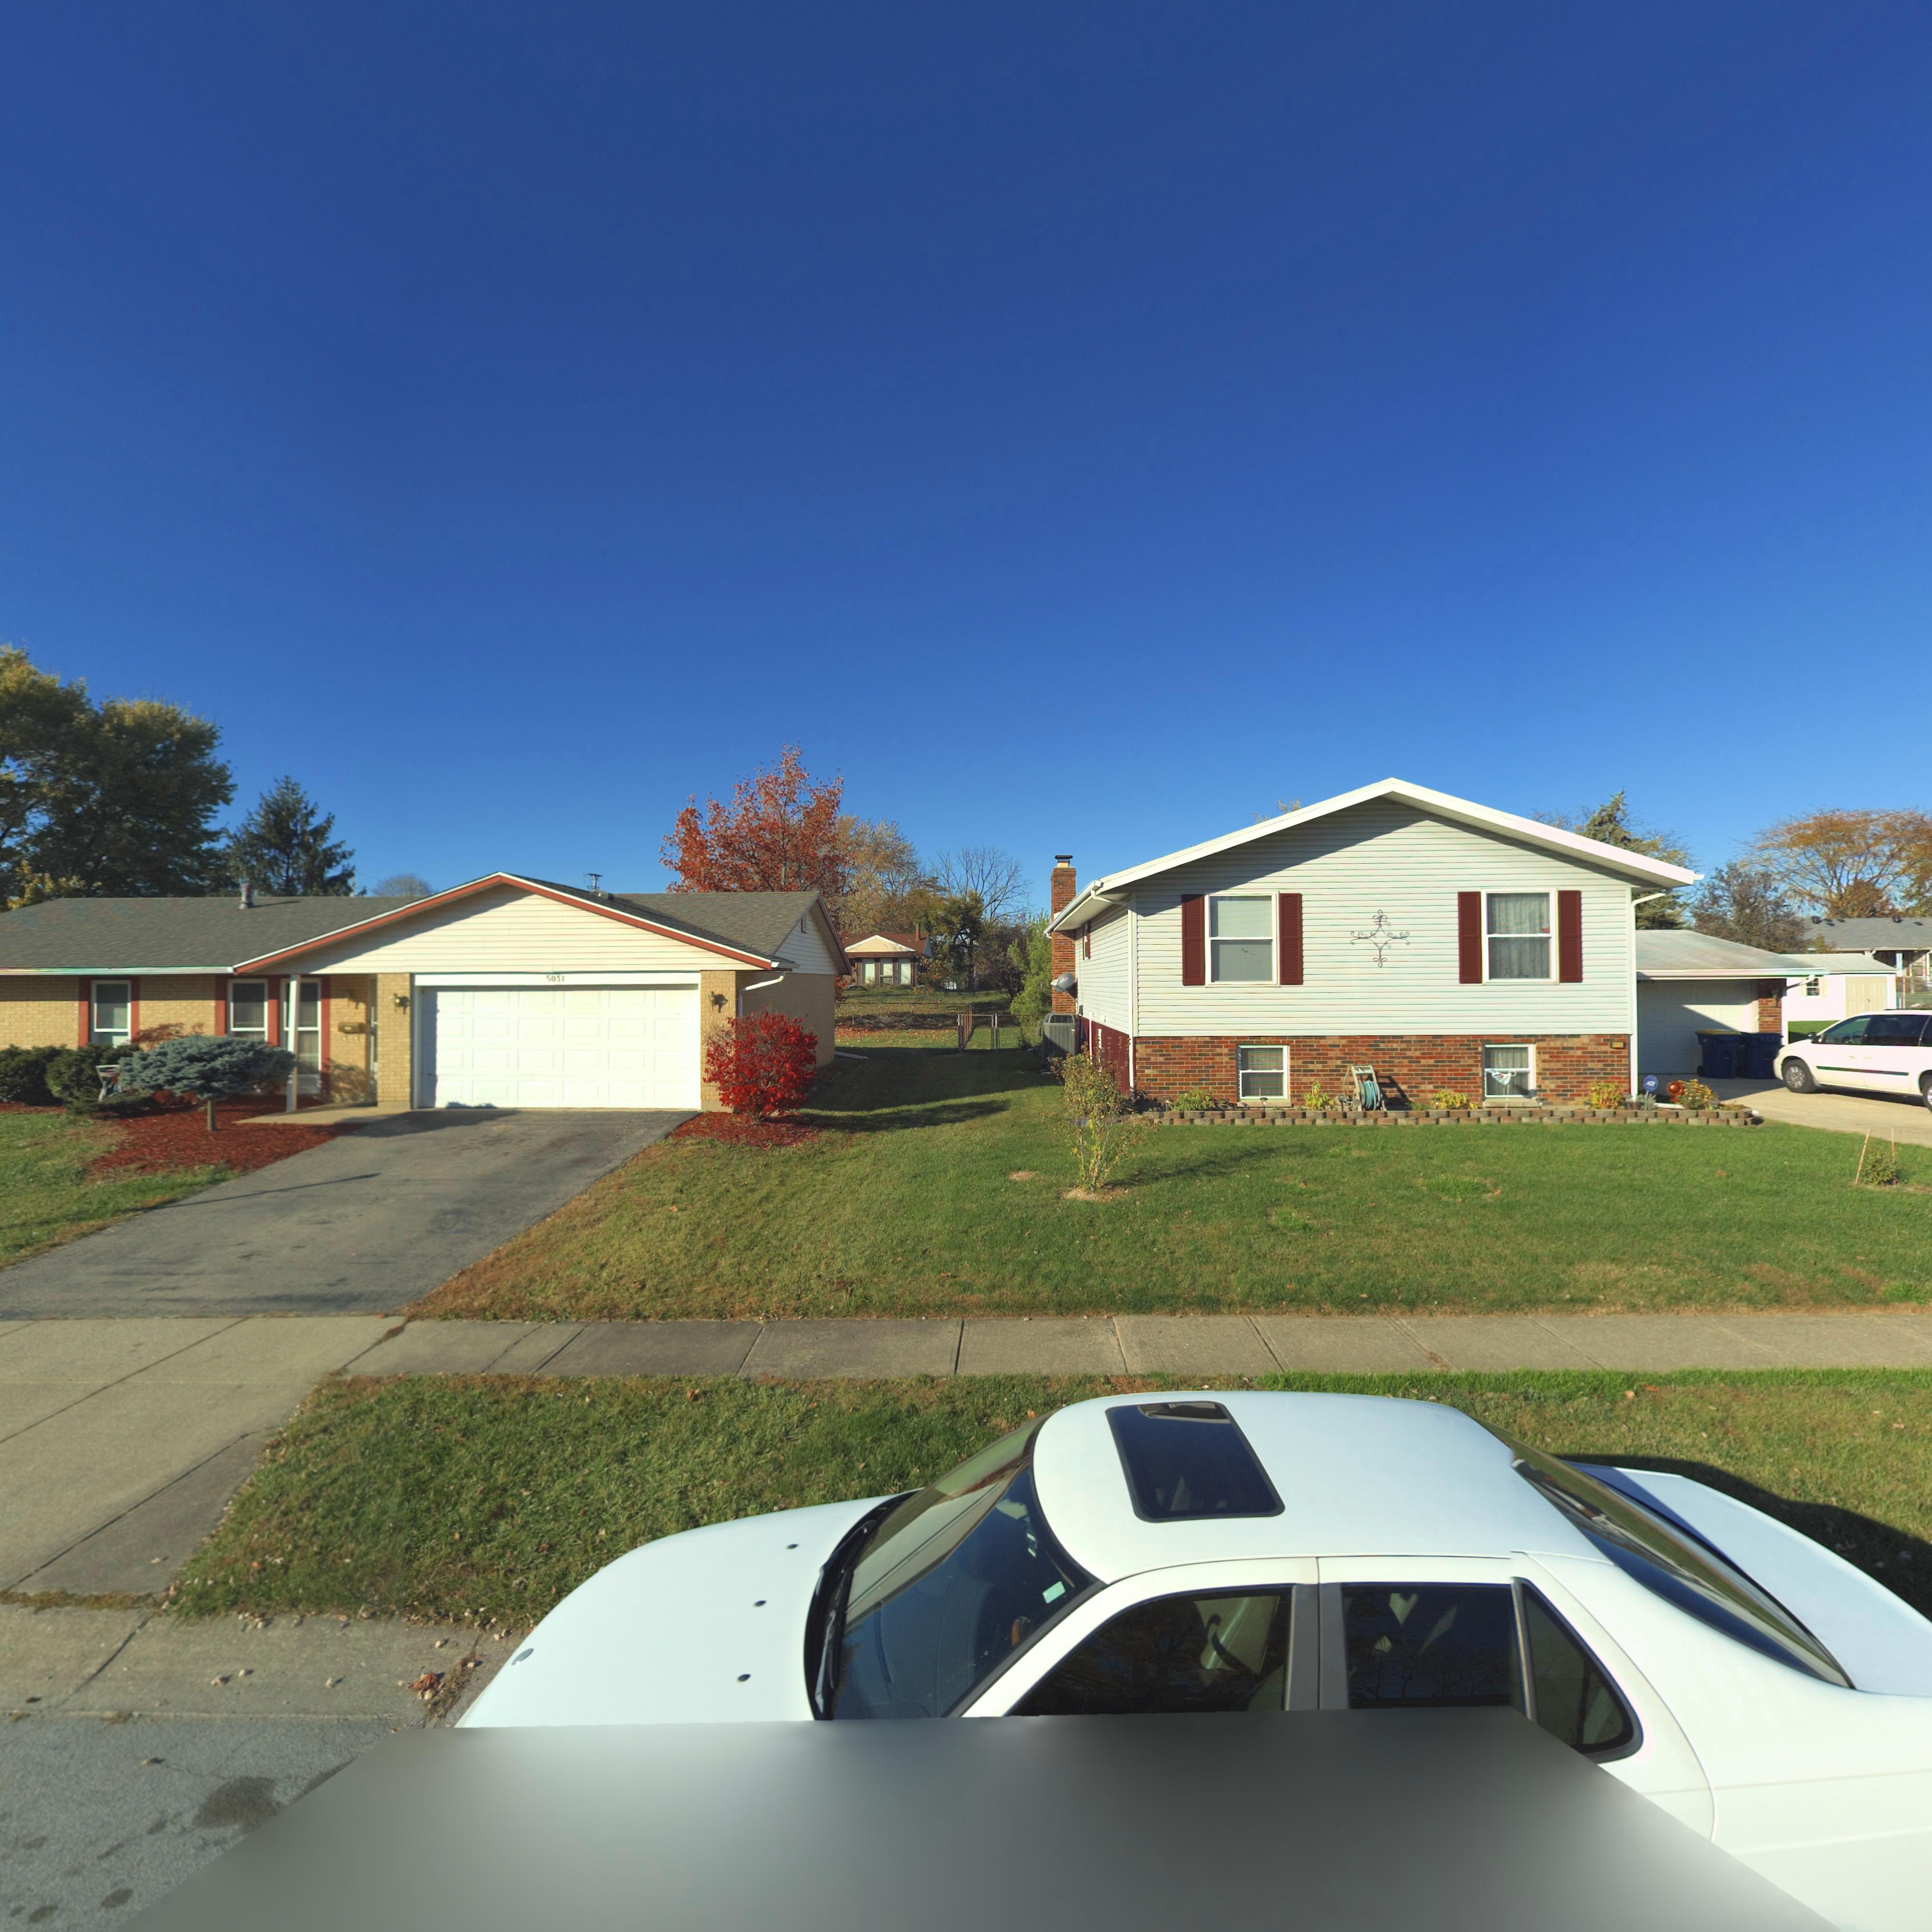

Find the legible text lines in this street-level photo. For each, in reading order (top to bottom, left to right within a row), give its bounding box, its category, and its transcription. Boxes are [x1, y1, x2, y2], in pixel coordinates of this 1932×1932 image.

[546, 975, 564, 982] StreetNumber: 5031